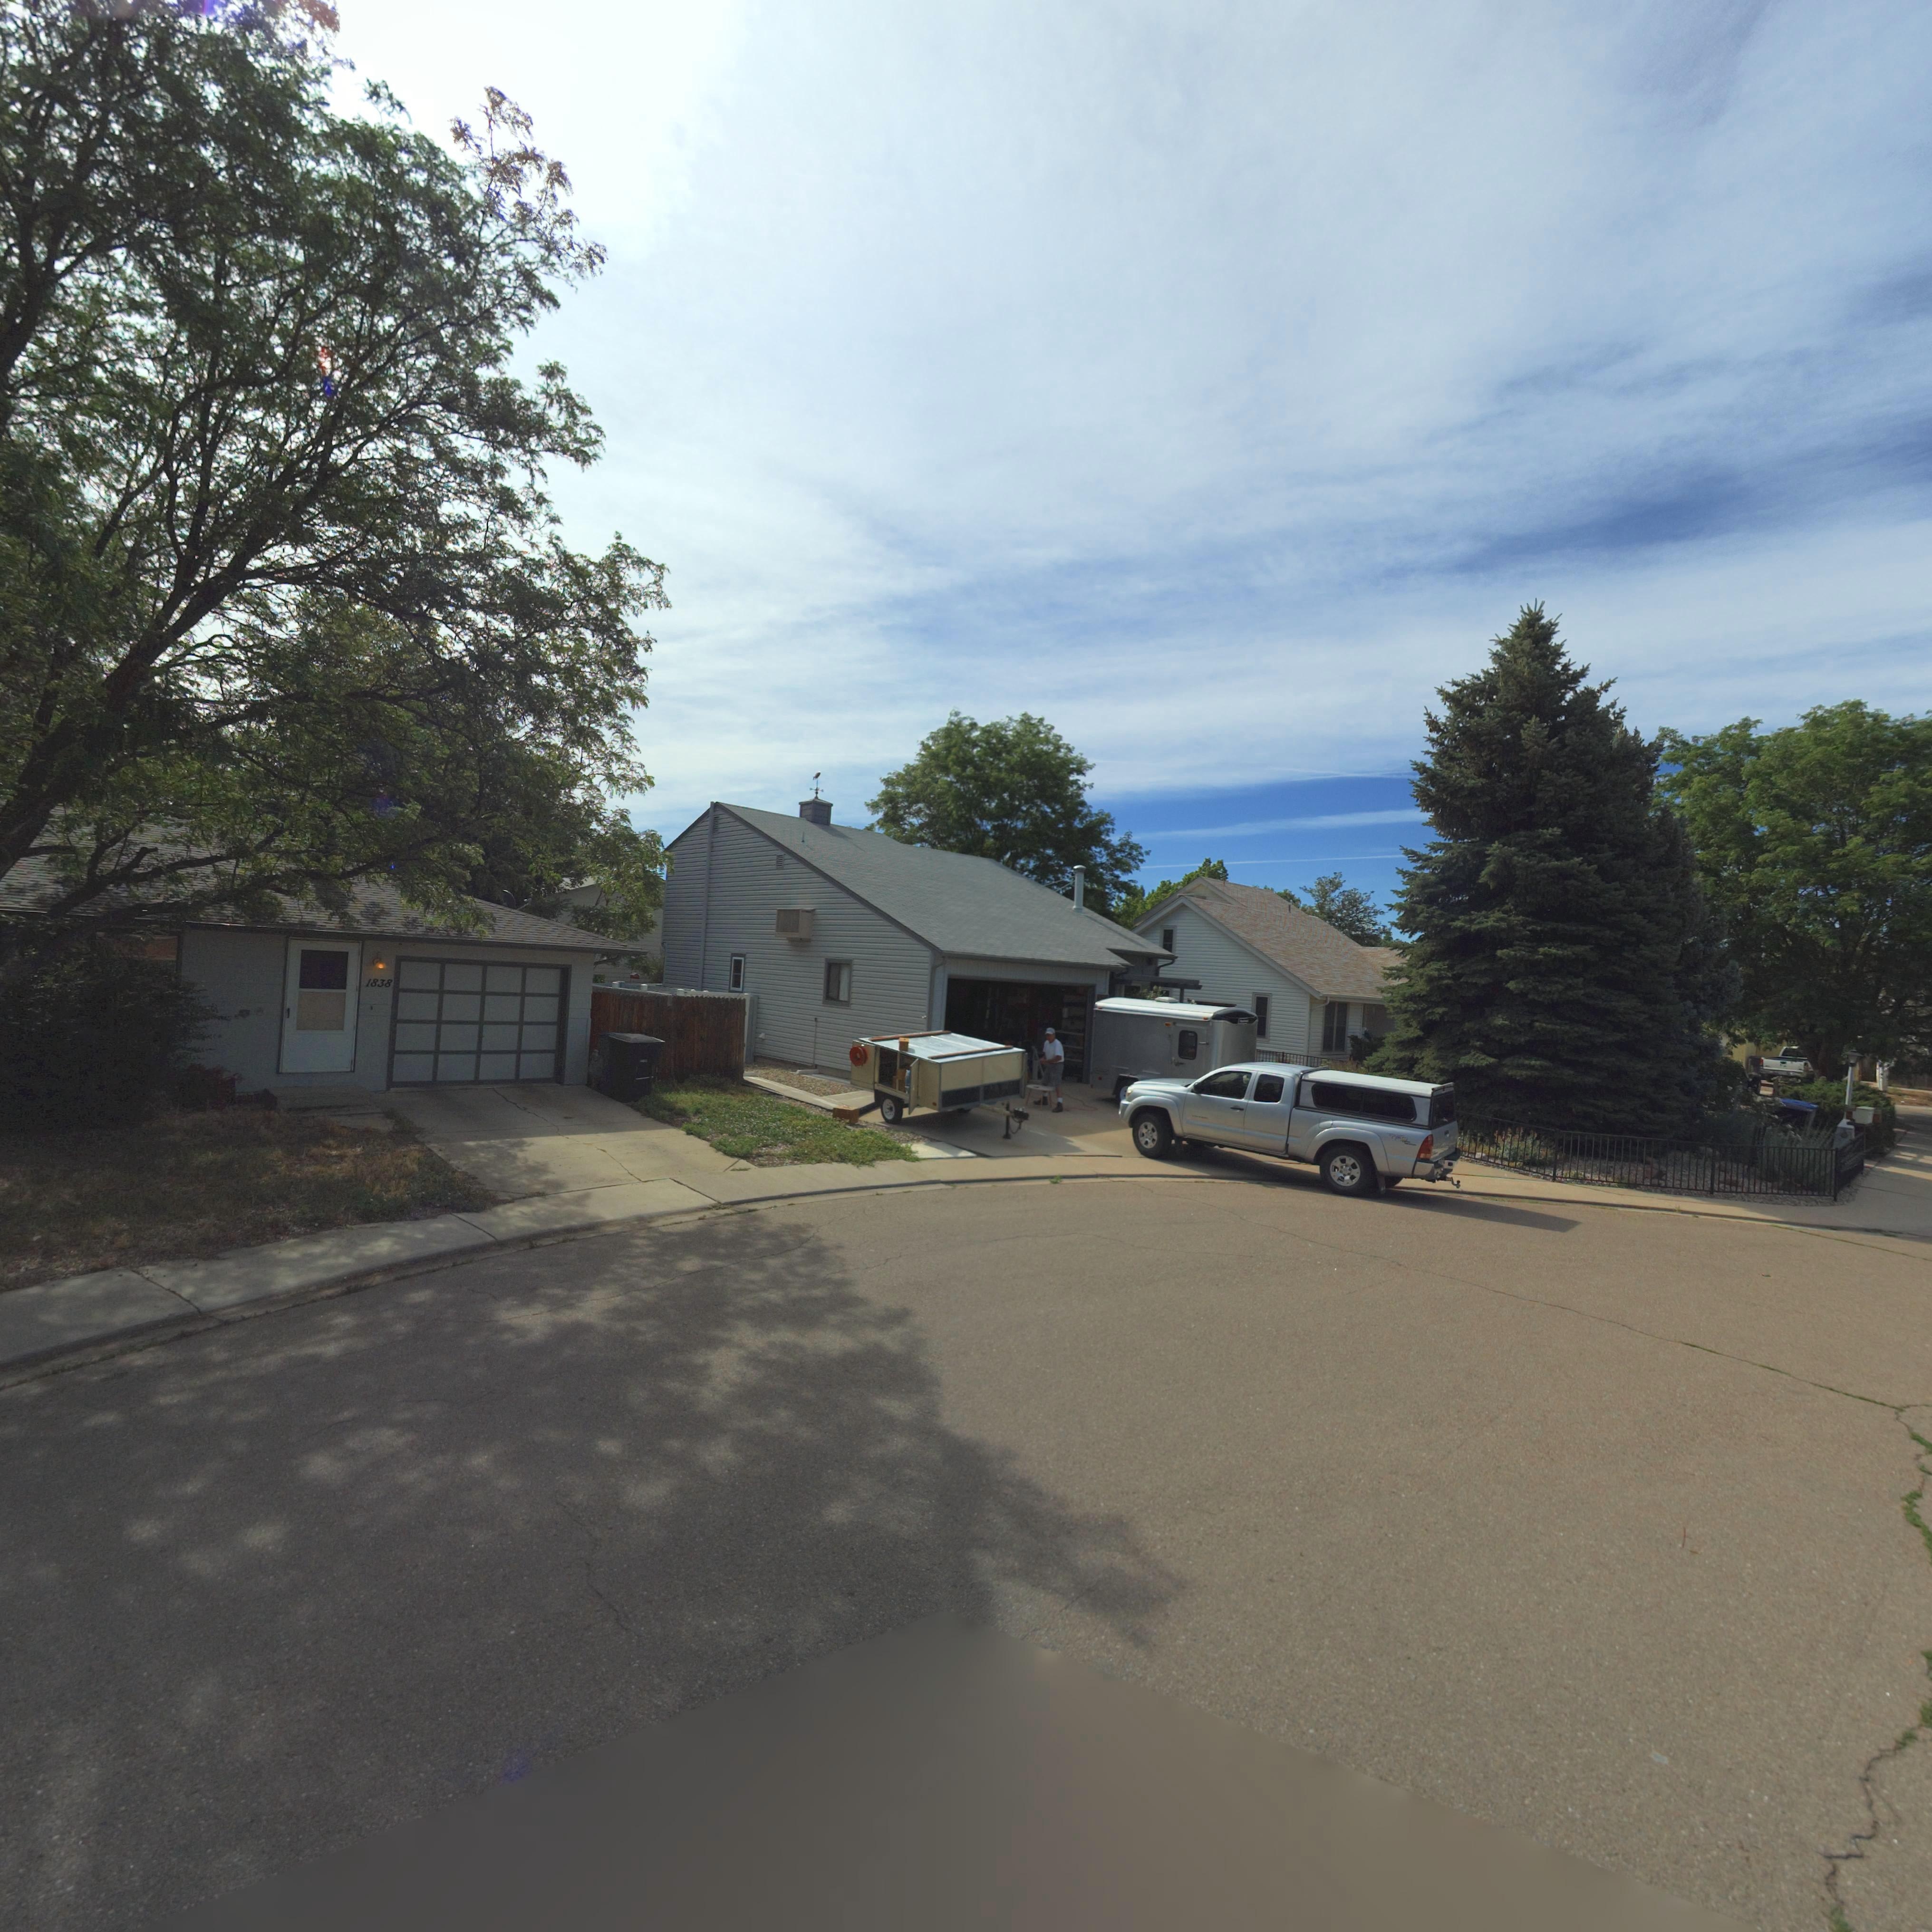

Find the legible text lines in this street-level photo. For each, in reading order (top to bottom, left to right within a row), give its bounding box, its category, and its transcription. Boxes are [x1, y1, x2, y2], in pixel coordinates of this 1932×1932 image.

[366, 977, 393, 988] StreetNumber: 1838